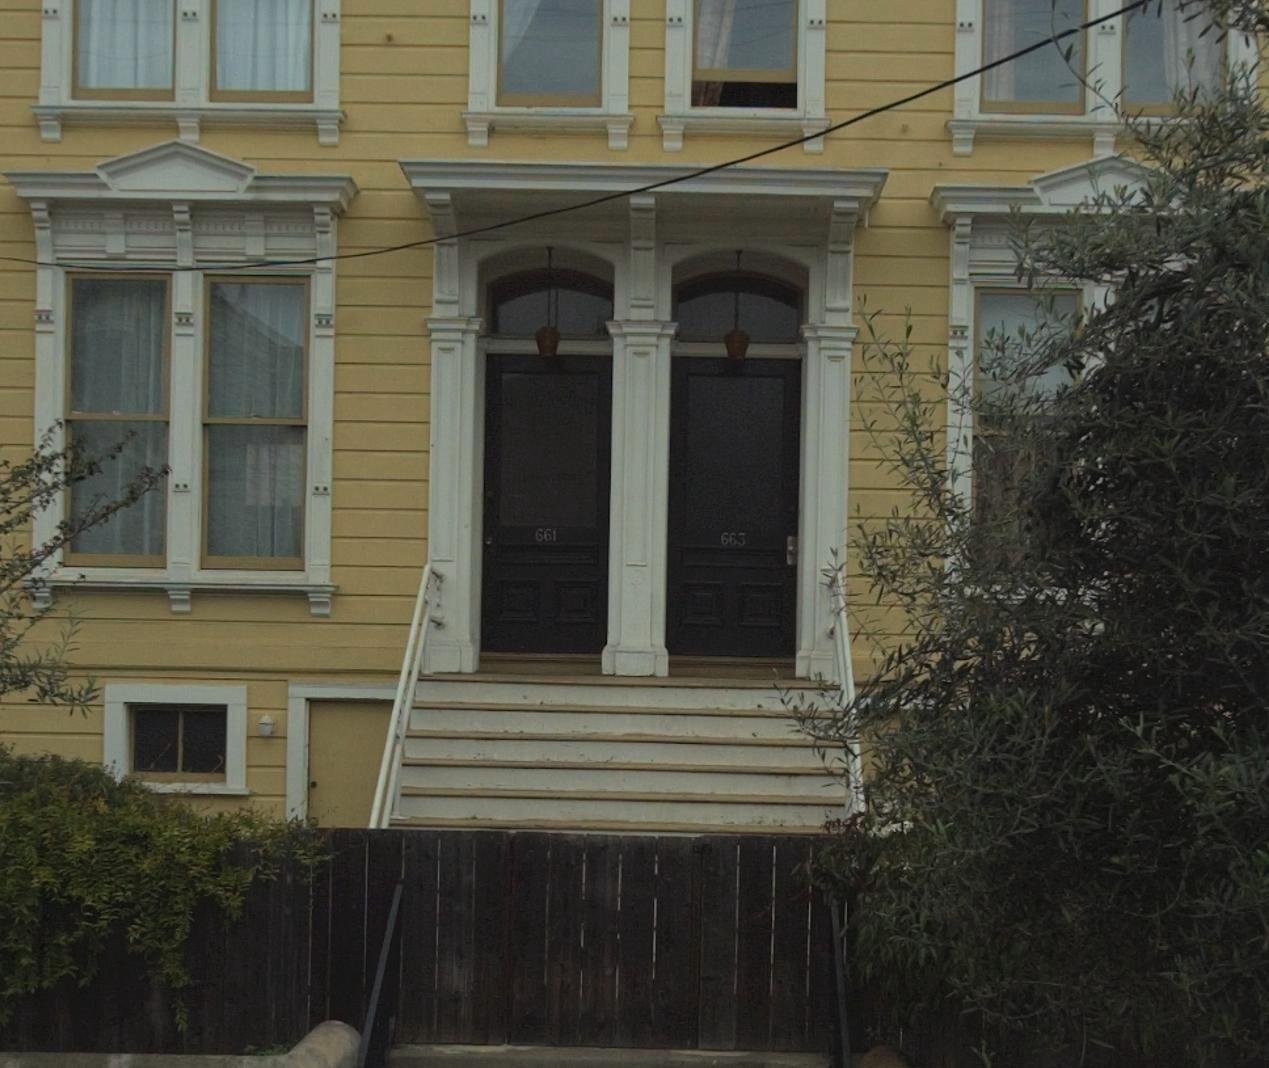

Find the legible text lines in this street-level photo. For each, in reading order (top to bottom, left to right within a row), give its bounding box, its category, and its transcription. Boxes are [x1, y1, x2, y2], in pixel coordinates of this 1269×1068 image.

[534, 527, 558, 543] StreetNumber: 661
[719, 531, 747, 547] StreetNumber: 663